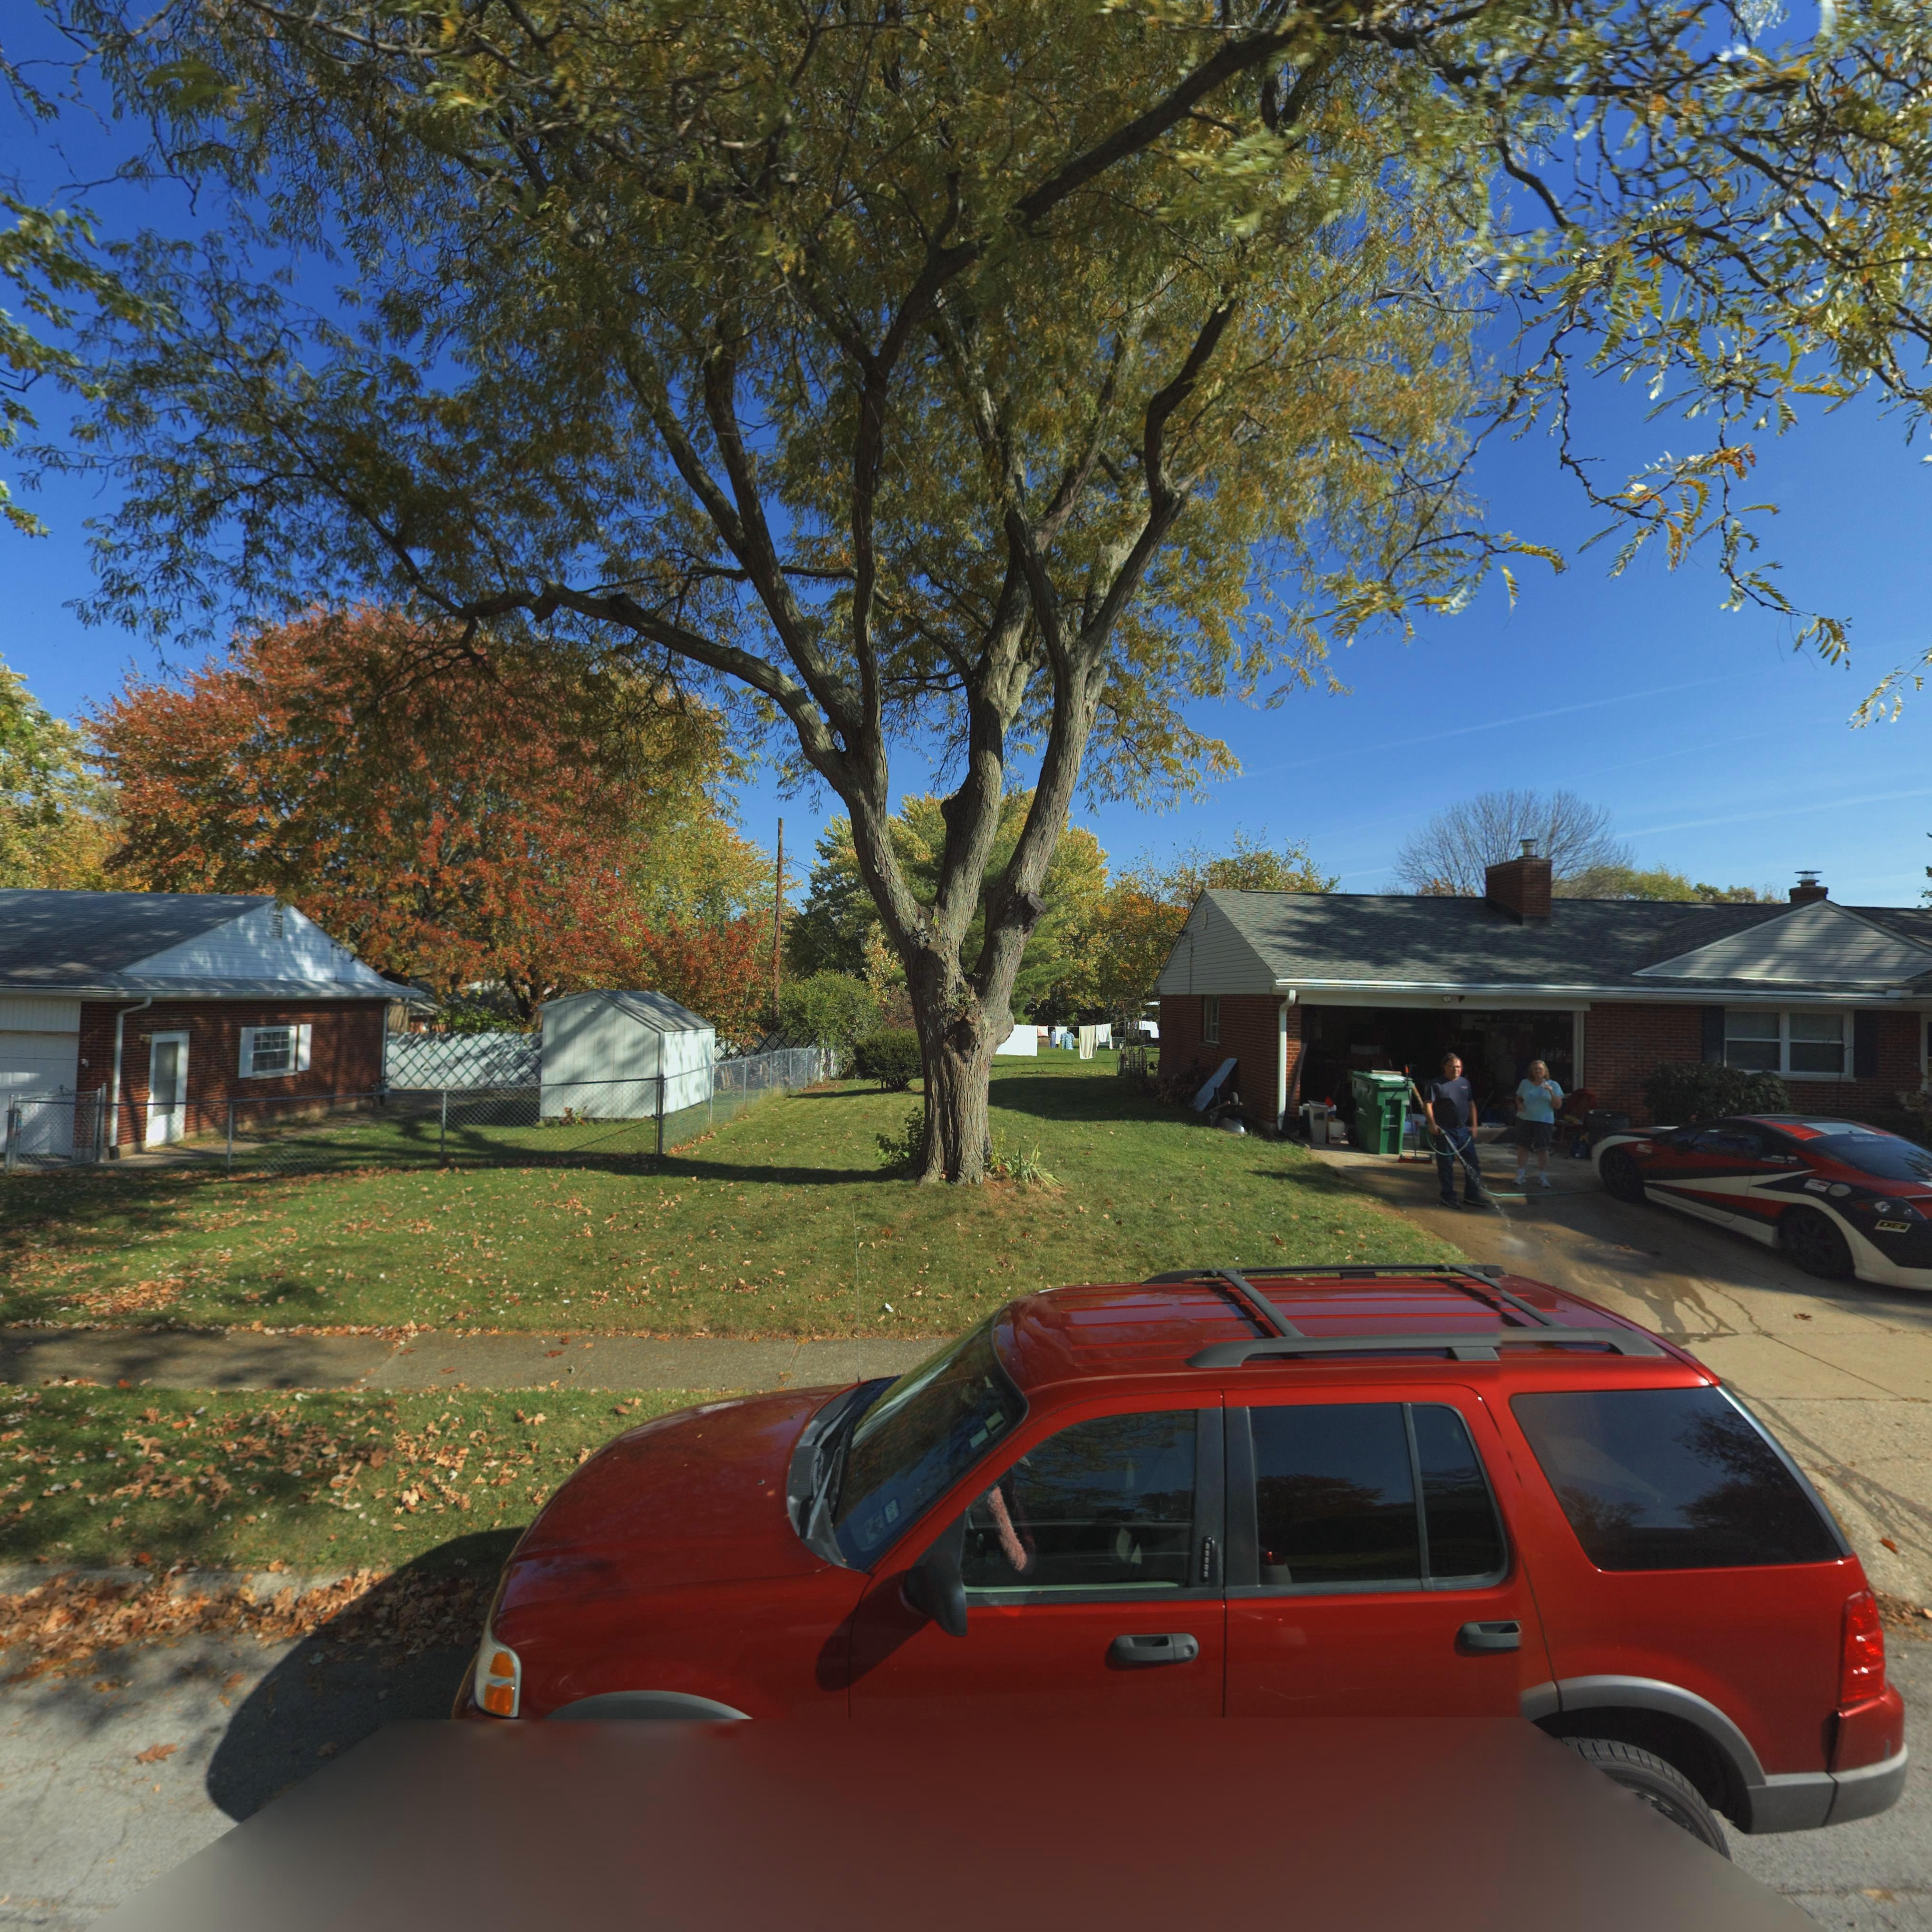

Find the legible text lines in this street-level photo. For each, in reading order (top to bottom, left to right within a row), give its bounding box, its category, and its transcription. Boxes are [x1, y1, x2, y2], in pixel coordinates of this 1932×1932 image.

[1635, 1141, 1654, 1155] None: 5
[1876, 1220, 1903, 1230] None: DE